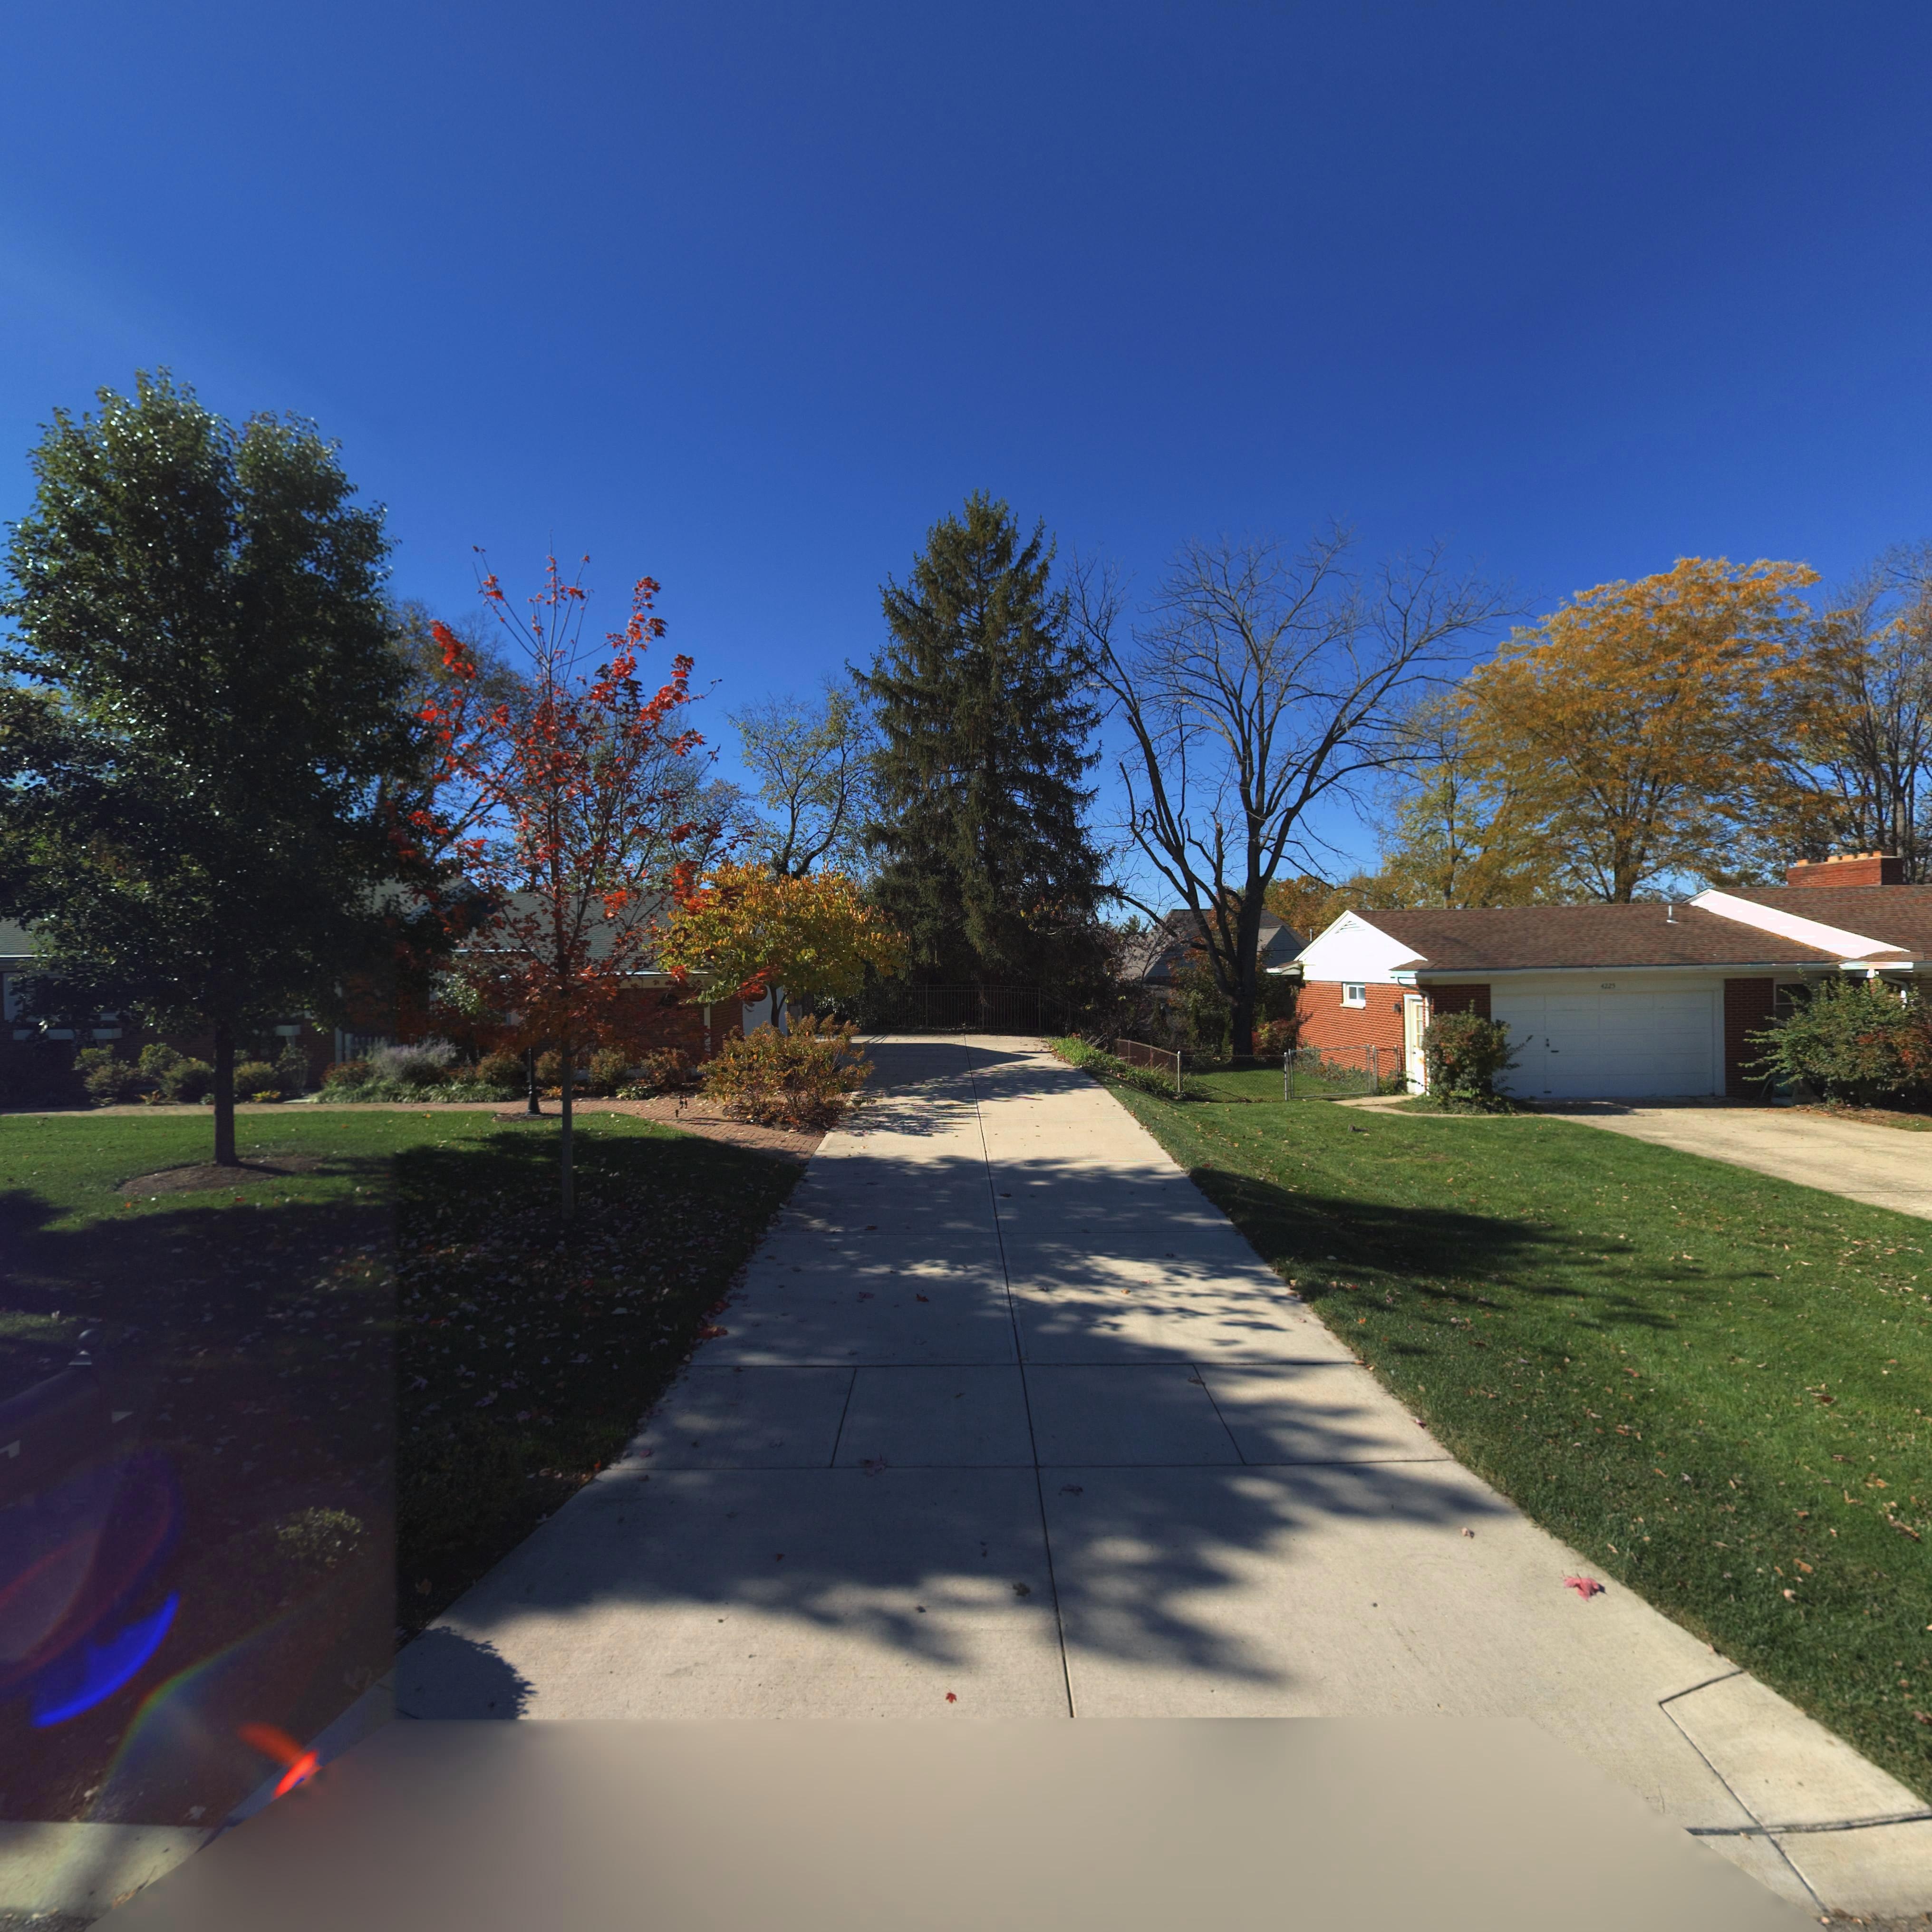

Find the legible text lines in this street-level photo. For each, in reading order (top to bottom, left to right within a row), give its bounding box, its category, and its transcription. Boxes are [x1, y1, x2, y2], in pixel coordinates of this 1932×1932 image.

[1600, 982, 1616, 989] StreetNumber: 4225
[663, 997, 676, 1003] StreetNumber: 4233